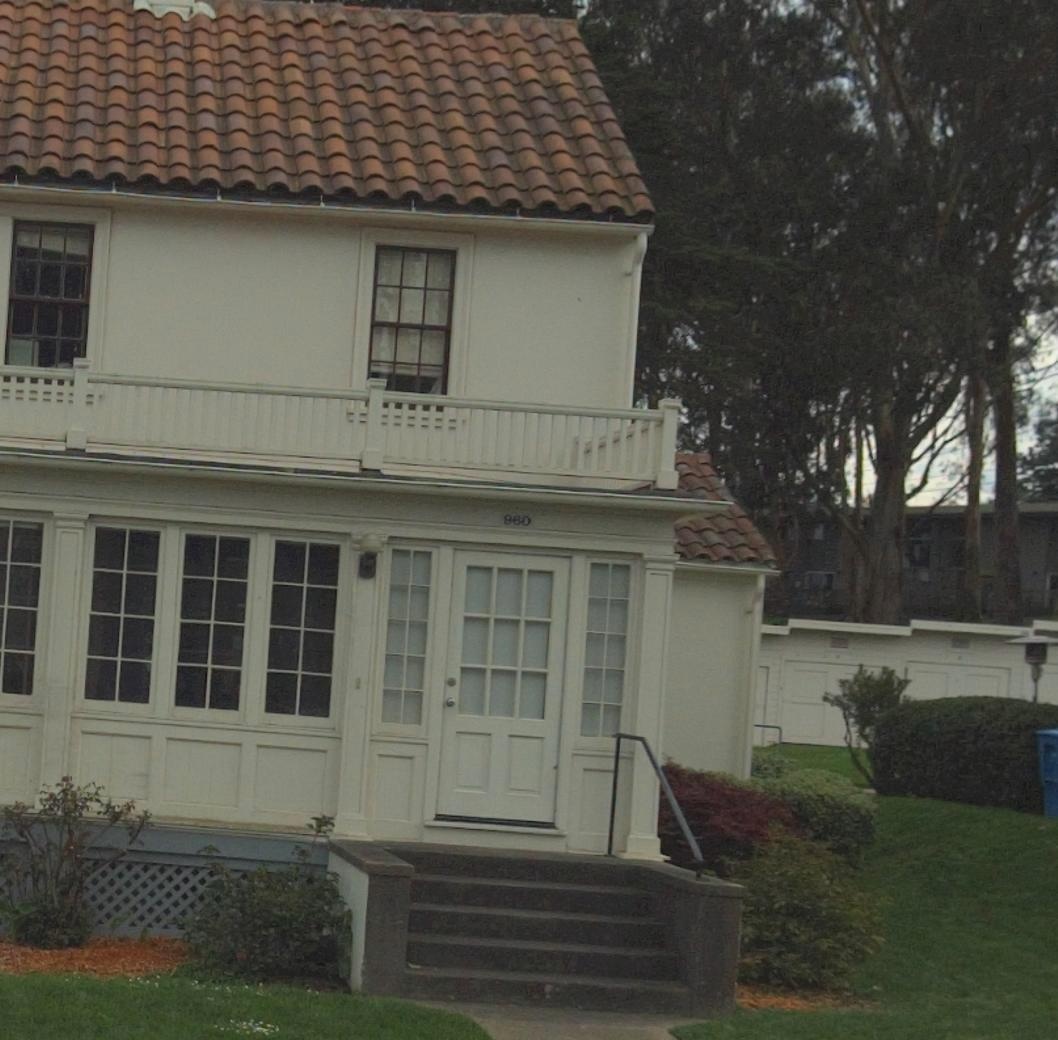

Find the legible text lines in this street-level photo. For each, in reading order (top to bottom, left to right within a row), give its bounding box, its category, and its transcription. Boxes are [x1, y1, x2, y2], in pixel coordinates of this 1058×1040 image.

[502, 513, 532, 527] StreetNumber: 960